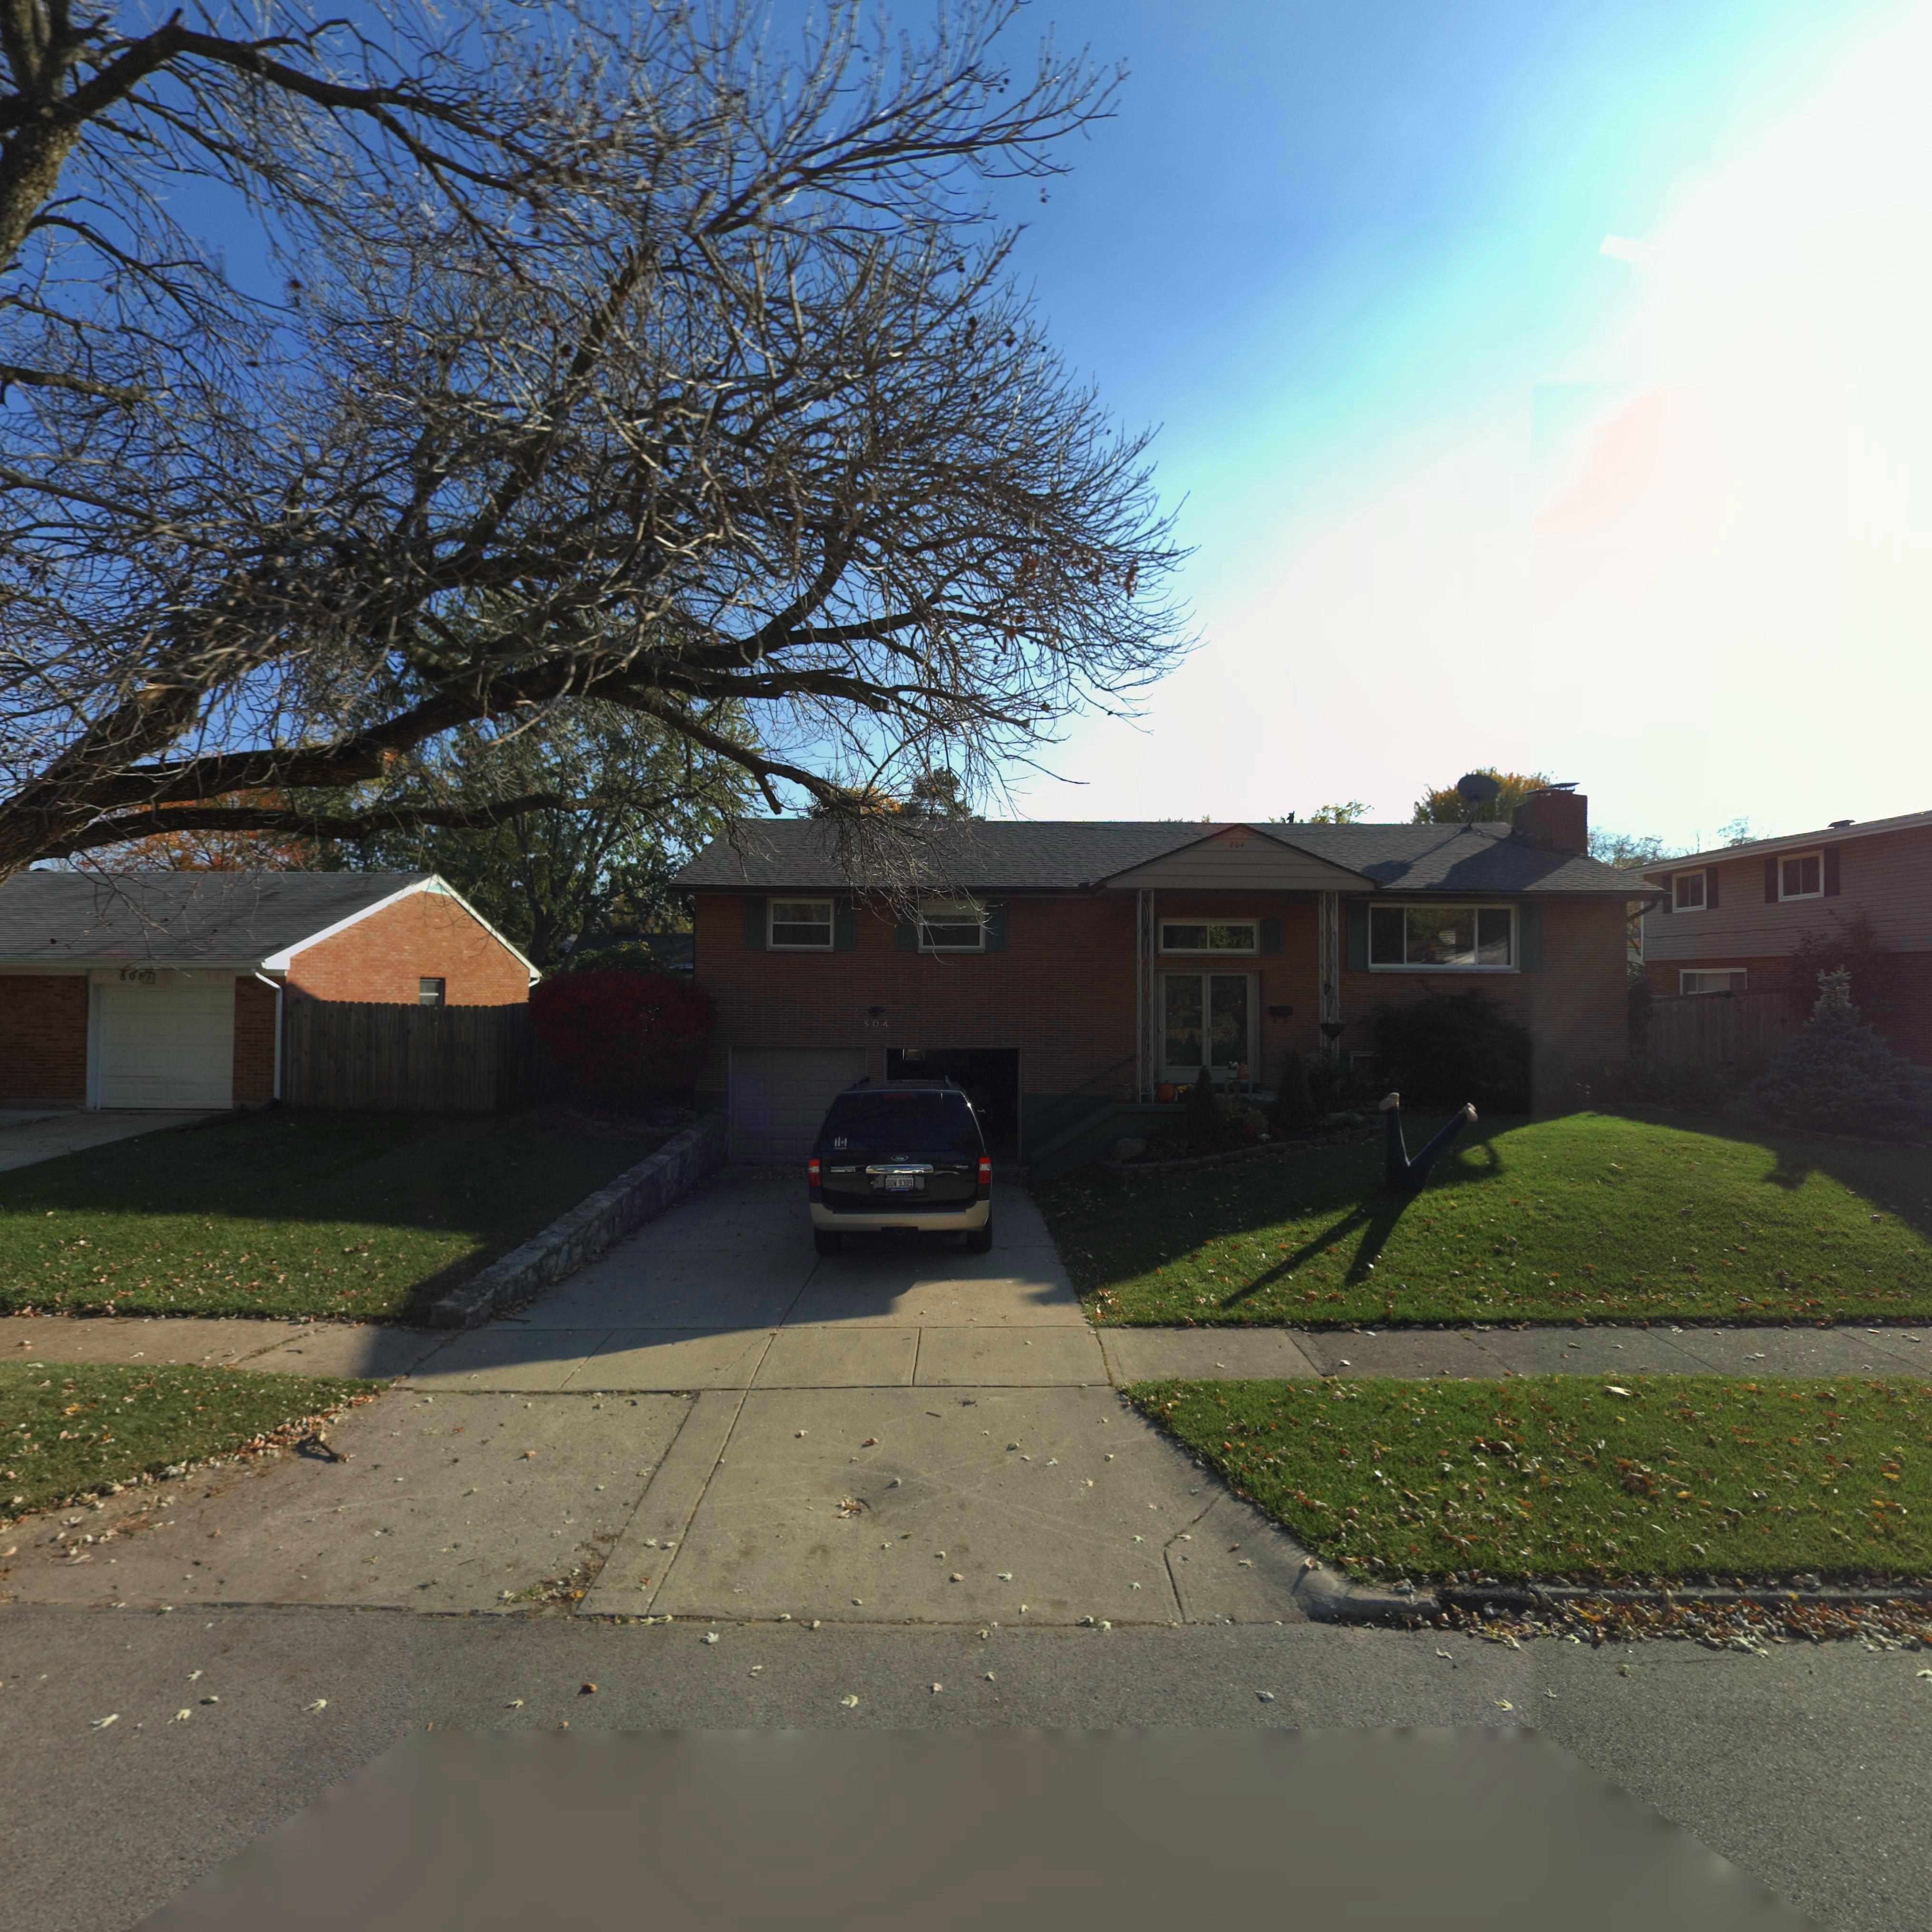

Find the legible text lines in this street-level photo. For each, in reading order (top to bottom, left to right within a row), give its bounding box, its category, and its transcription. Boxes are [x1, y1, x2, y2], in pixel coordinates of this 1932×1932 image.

[1228, 840, 1244, 848] StreetNumber: 804
[119, 971, 145, 980] StreetNumber: 808
[863, 1019, 888, 1028] StreetNumber: 804